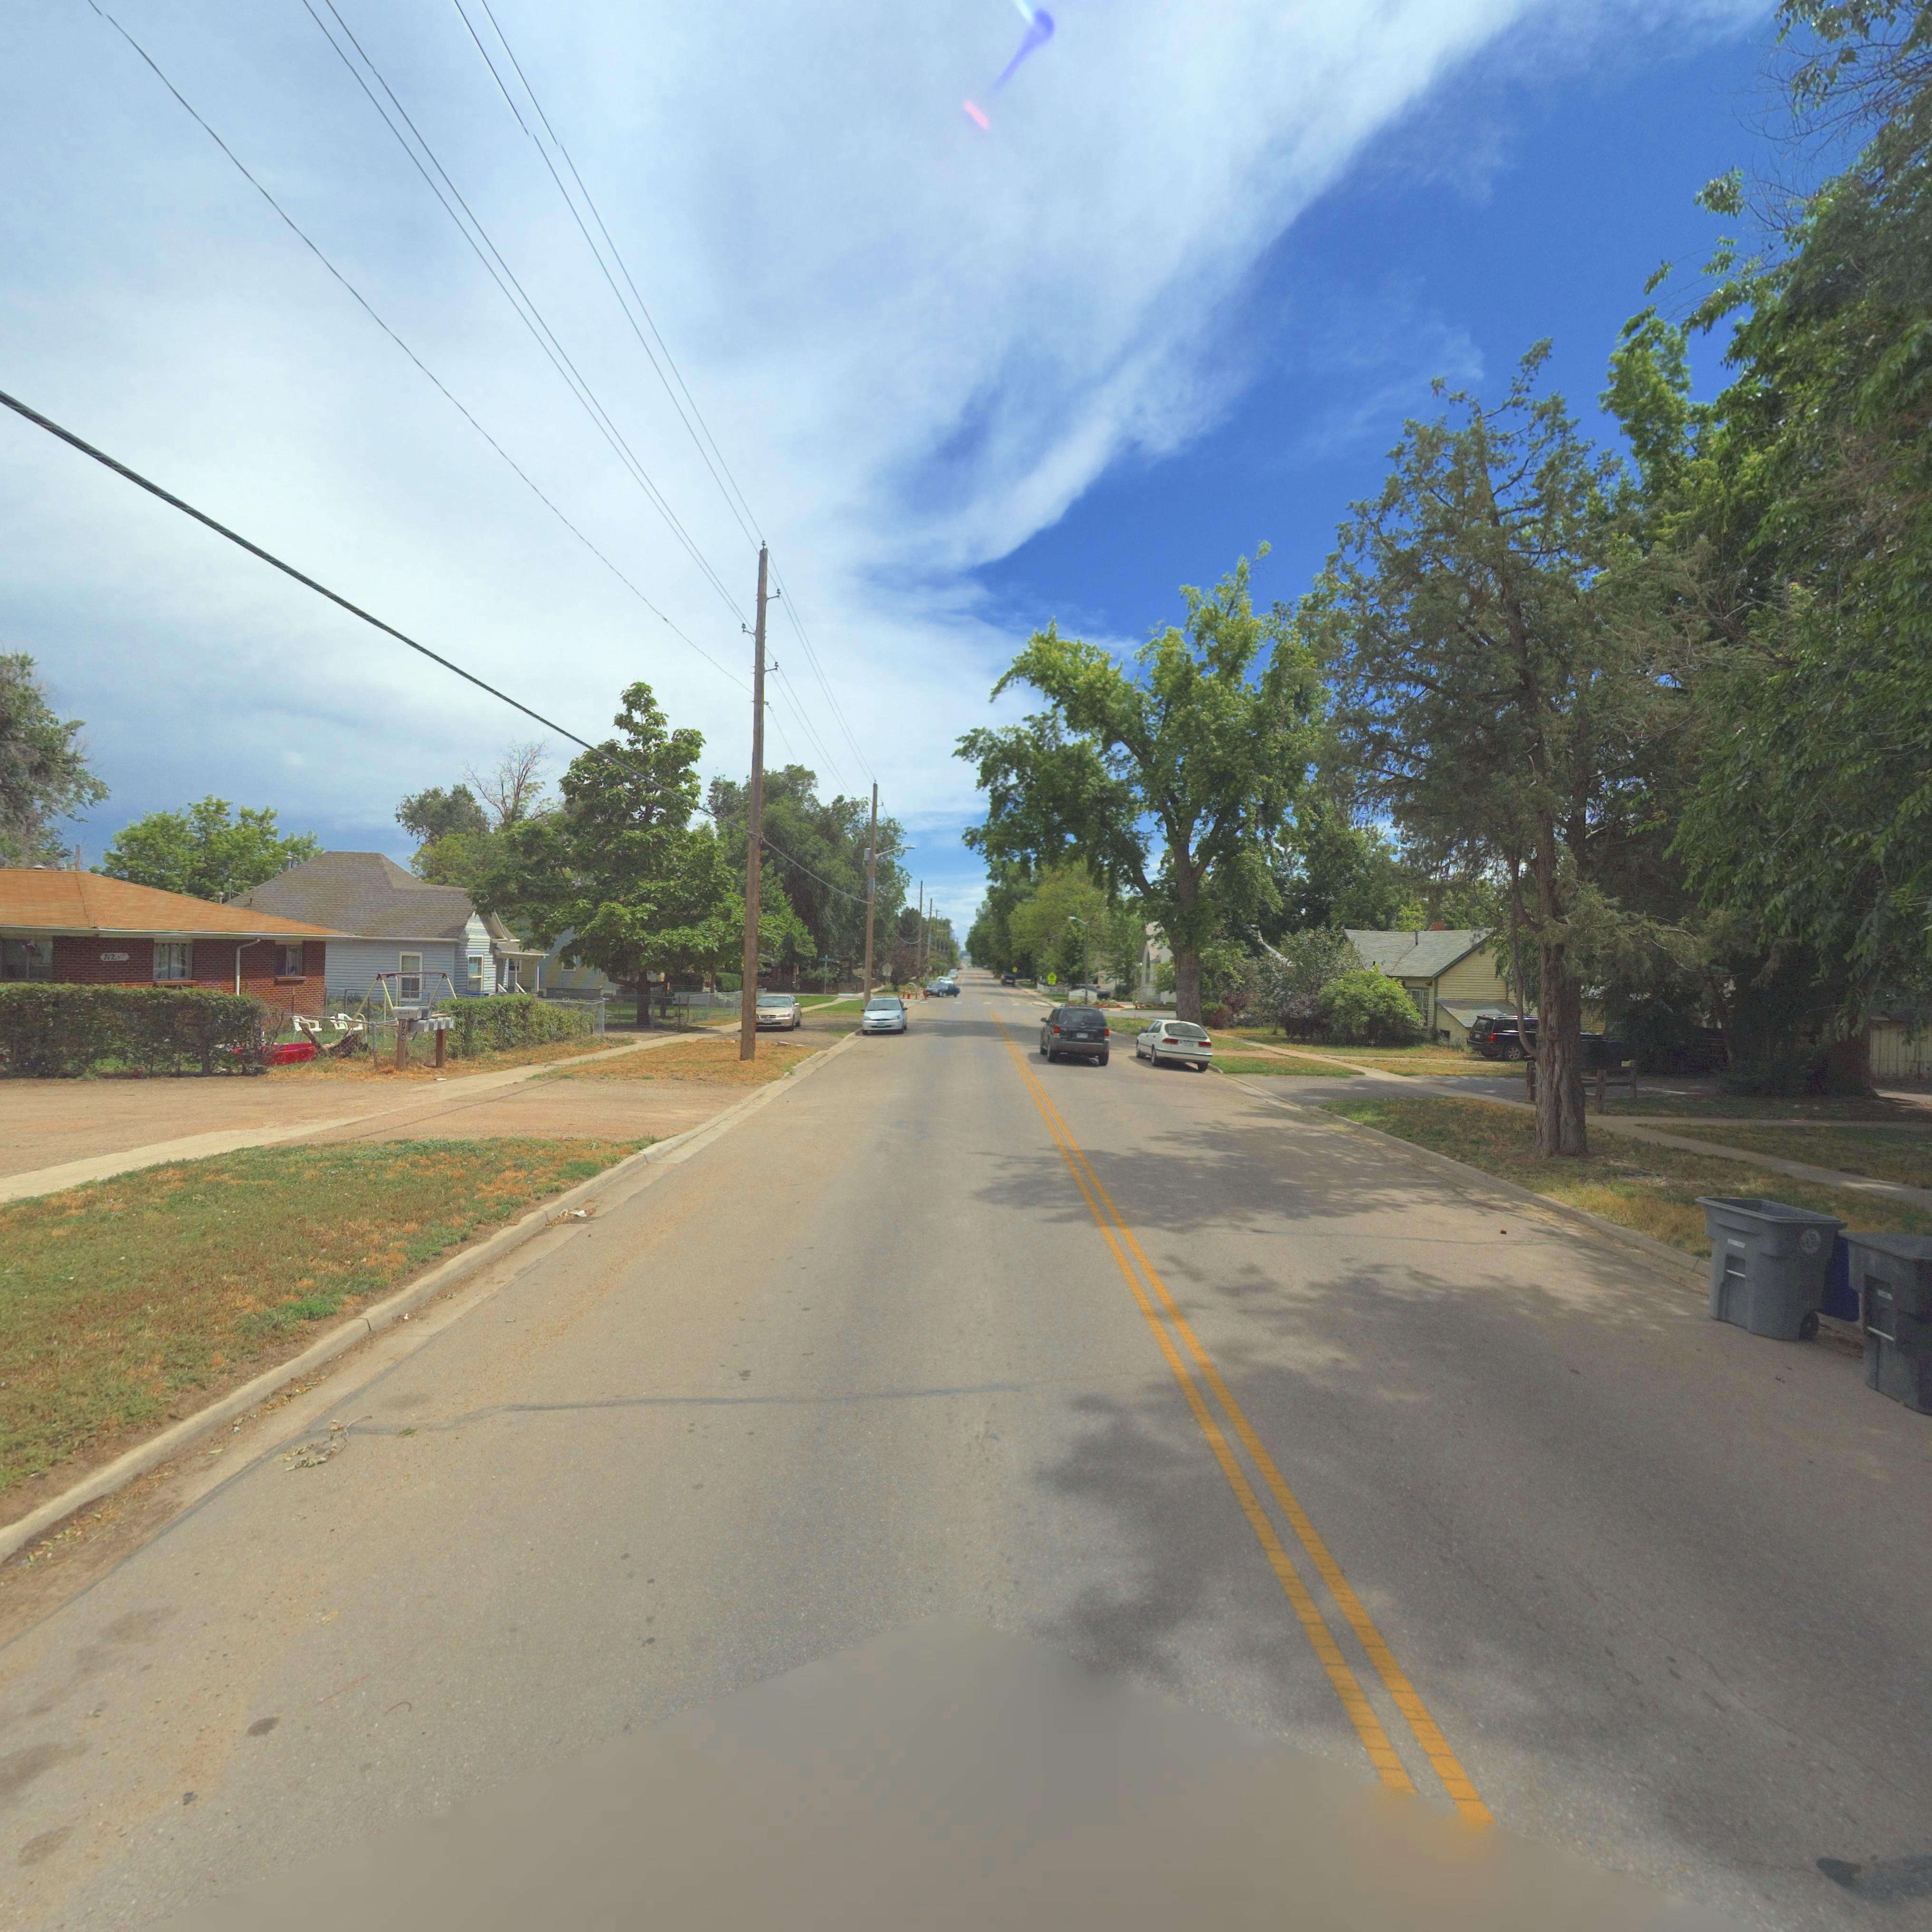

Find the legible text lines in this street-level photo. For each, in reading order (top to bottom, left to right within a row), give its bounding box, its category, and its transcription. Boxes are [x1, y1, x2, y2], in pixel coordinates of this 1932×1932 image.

[104, 953, 115, 960] StreetNumber: 712